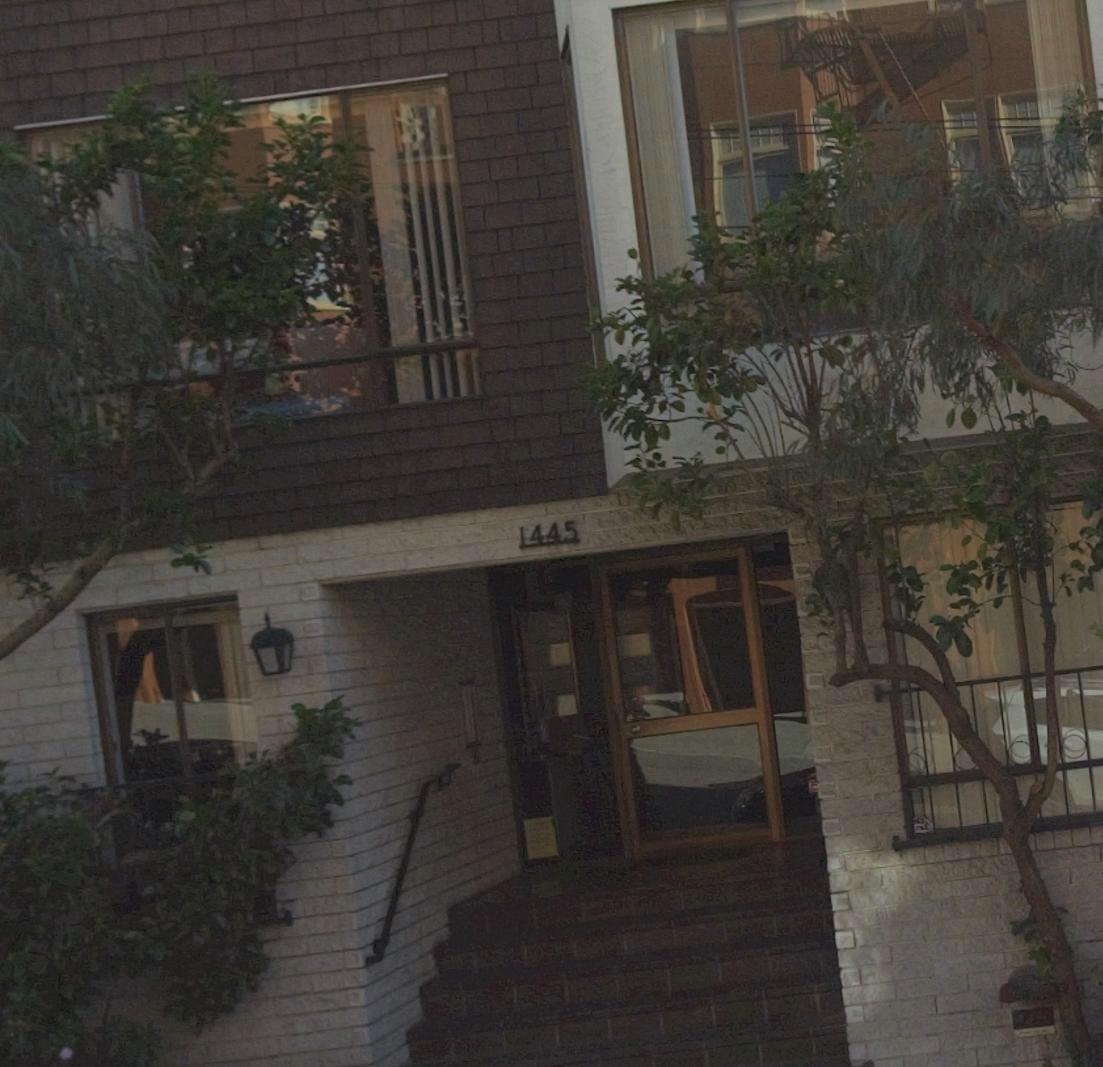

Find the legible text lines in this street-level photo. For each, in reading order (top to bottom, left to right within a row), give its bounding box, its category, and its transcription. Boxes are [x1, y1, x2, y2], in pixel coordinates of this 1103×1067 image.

[515, 519, 581, 551] StreetNumber: 1445